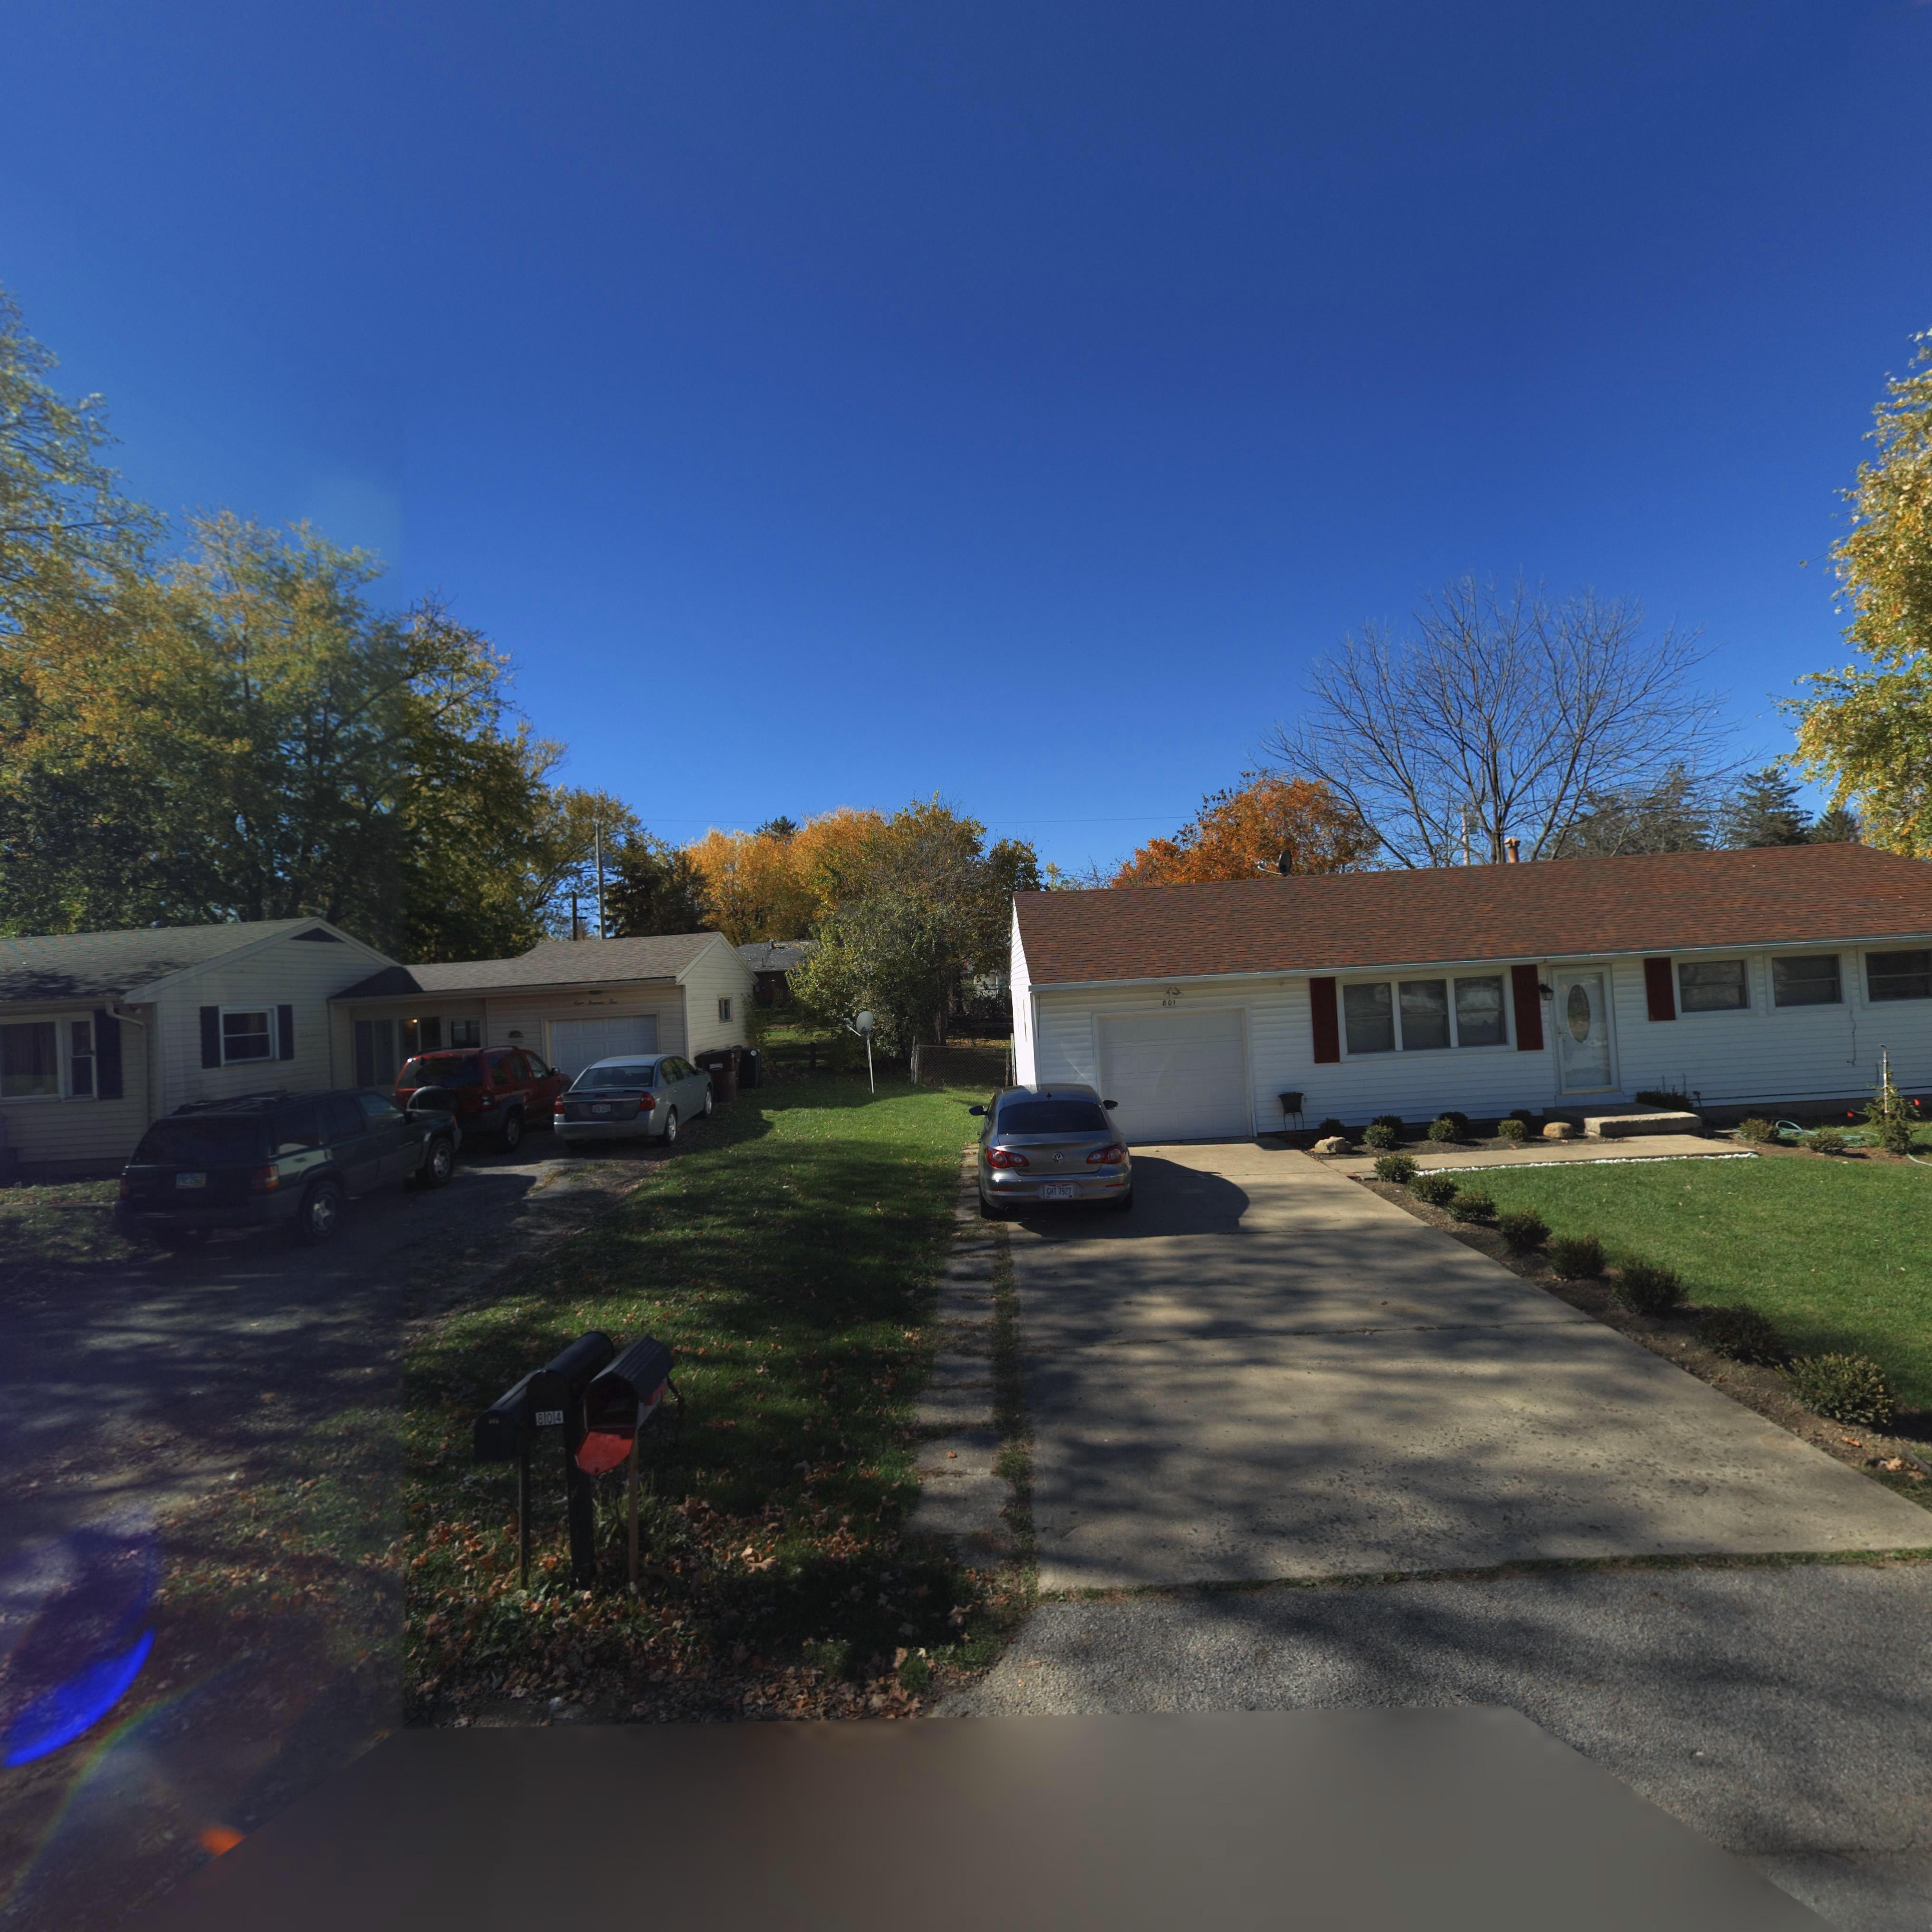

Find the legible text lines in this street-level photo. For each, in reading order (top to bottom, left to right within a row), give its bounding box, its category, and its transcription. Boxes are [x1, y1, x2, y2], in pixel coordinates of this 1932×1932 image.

[1162, 999, 1176, 1006] StreetNumber: 801
[537, 1411, 562, 1425] StreetNumber: 804